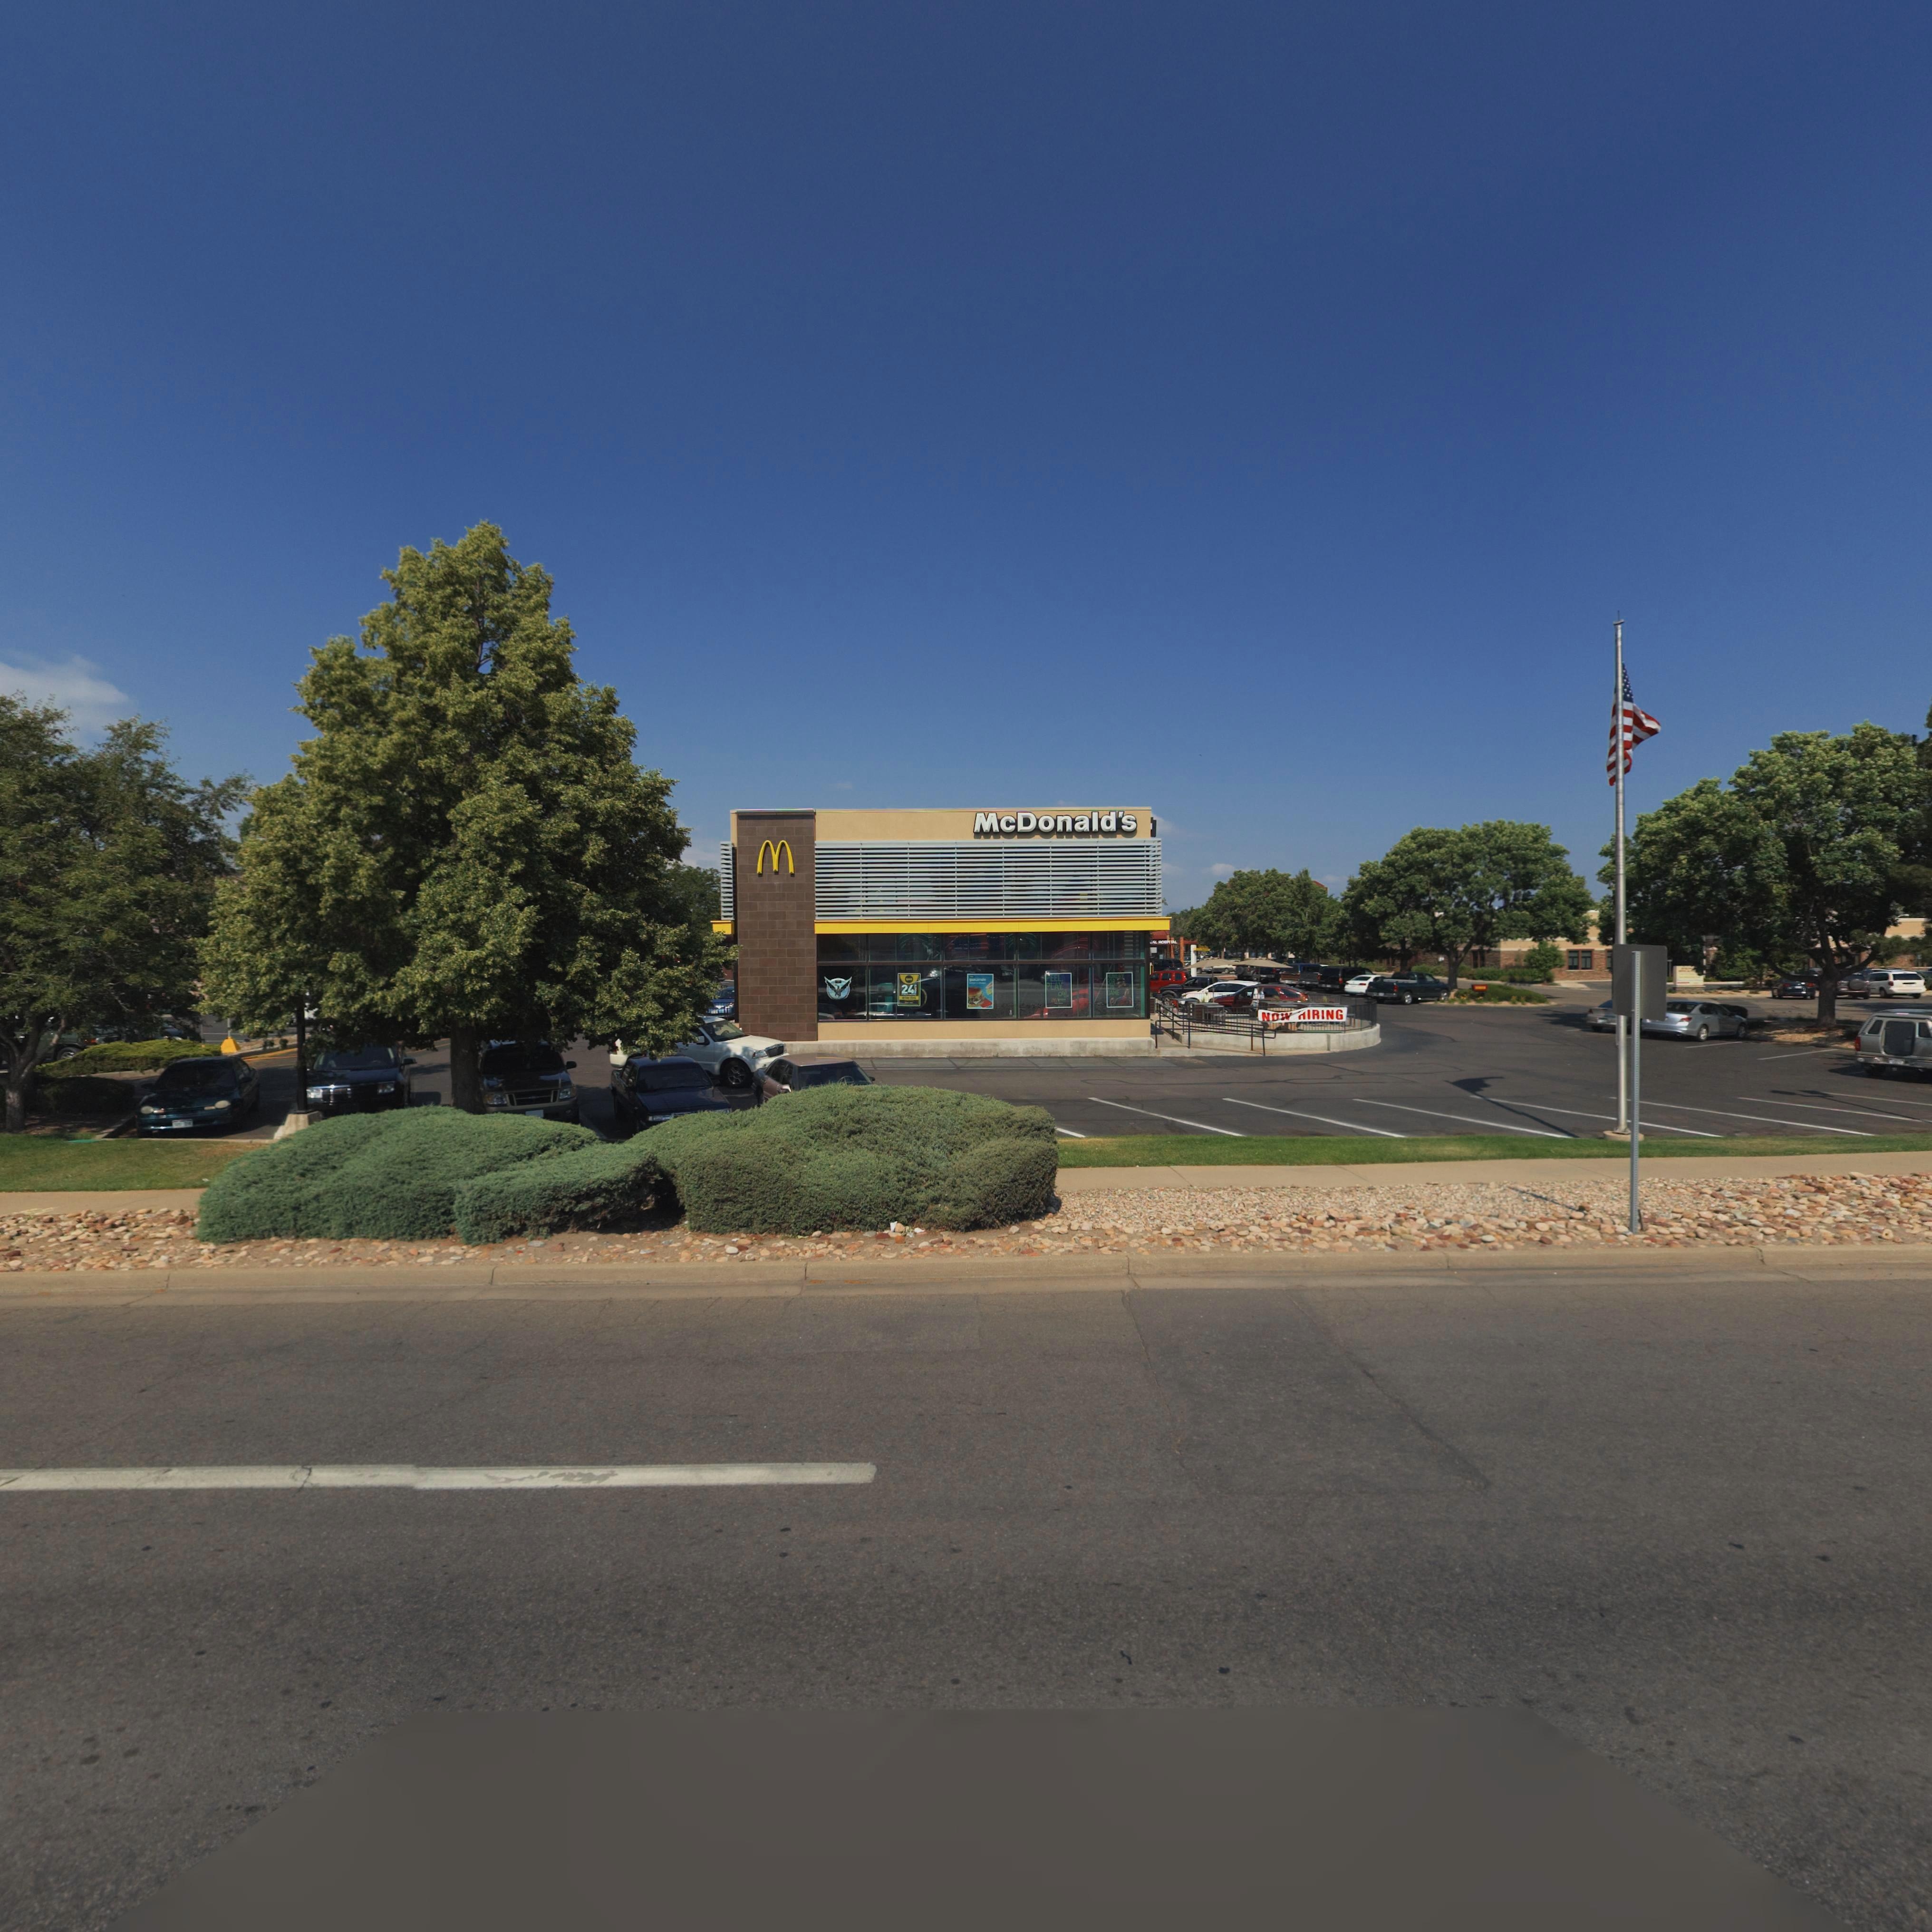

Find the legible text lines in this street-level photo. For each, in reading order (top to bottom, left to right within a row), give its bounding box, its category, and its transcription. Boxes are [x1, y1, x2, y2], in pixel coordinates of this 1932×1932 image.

[973, 810, 1137, 833] BusinessName: McDonald's
[1150, 940, 1178, 944] BusinessName: *AL HOSPITAL